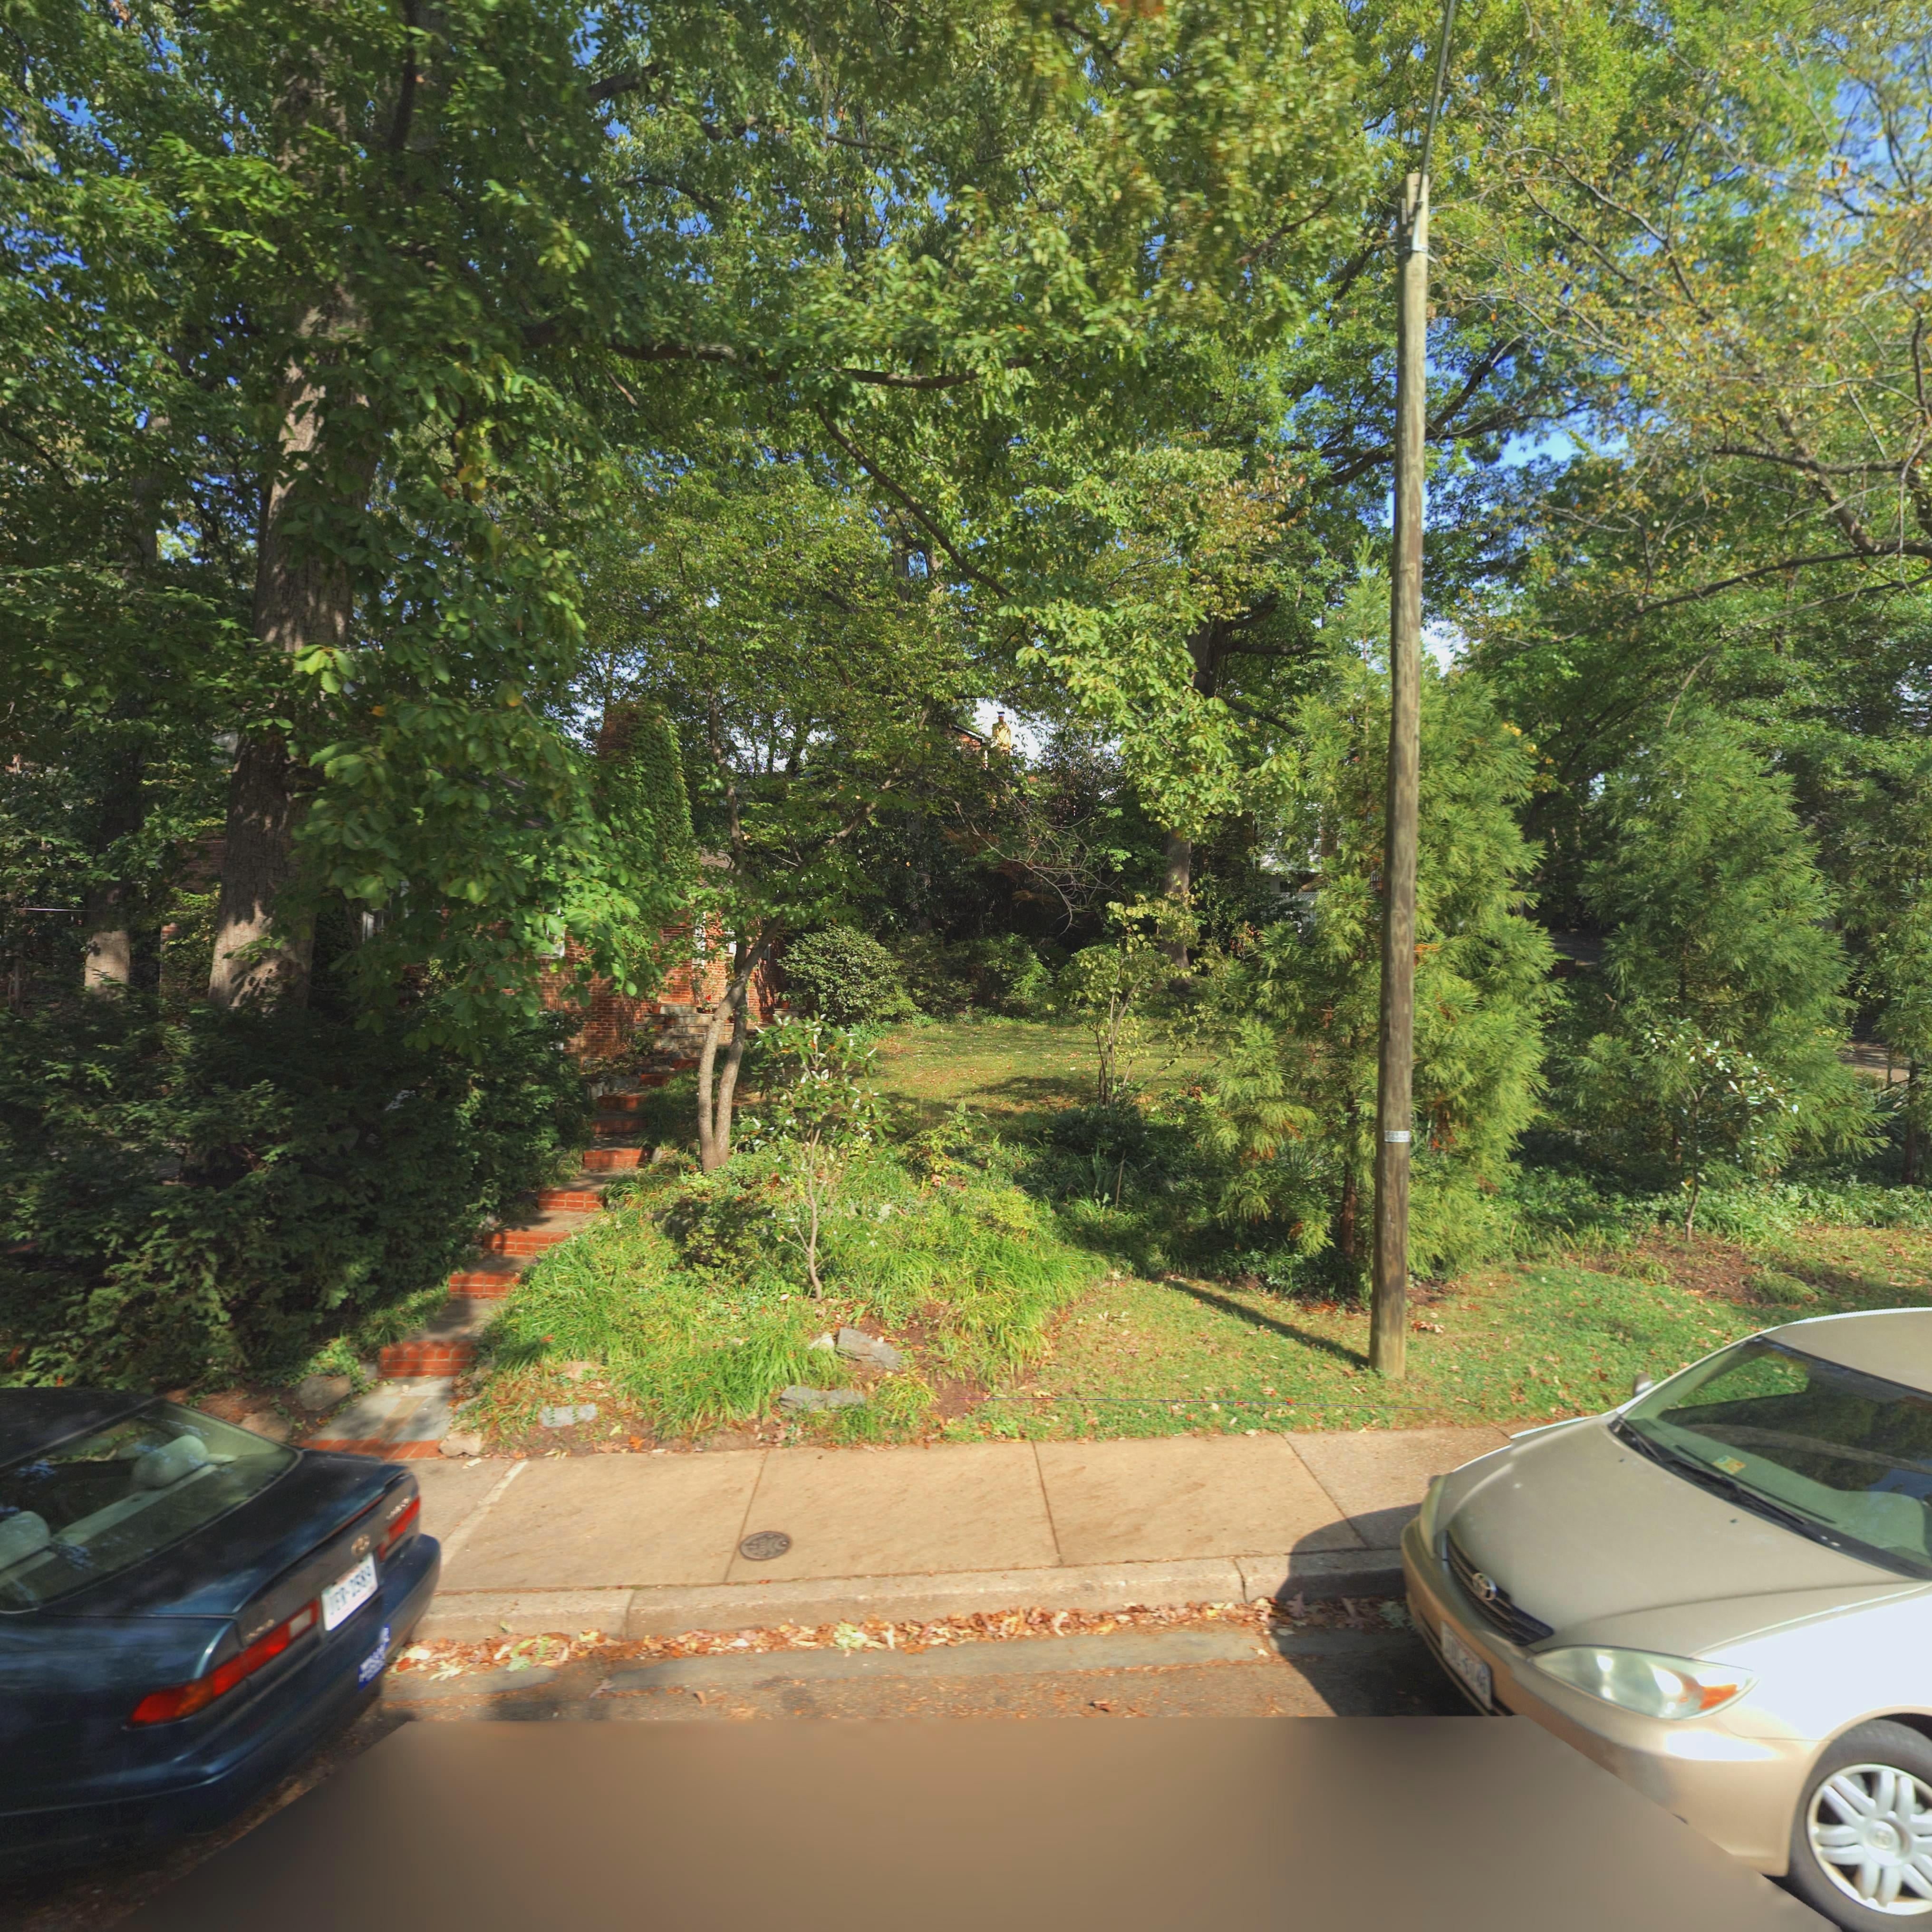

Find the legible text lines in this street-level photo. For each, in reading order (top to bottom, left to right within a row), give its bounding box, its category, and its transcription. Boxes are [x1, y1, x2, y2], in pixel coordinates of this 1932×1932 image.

[1386, 1131, 1399, 1136] None: C09
[1390, 1136, 1395, 1140] None: O
[327, 1562, 375, 1619] None: JFR*2589
[1454, 1643, 1488, 1698] None: L*4**6